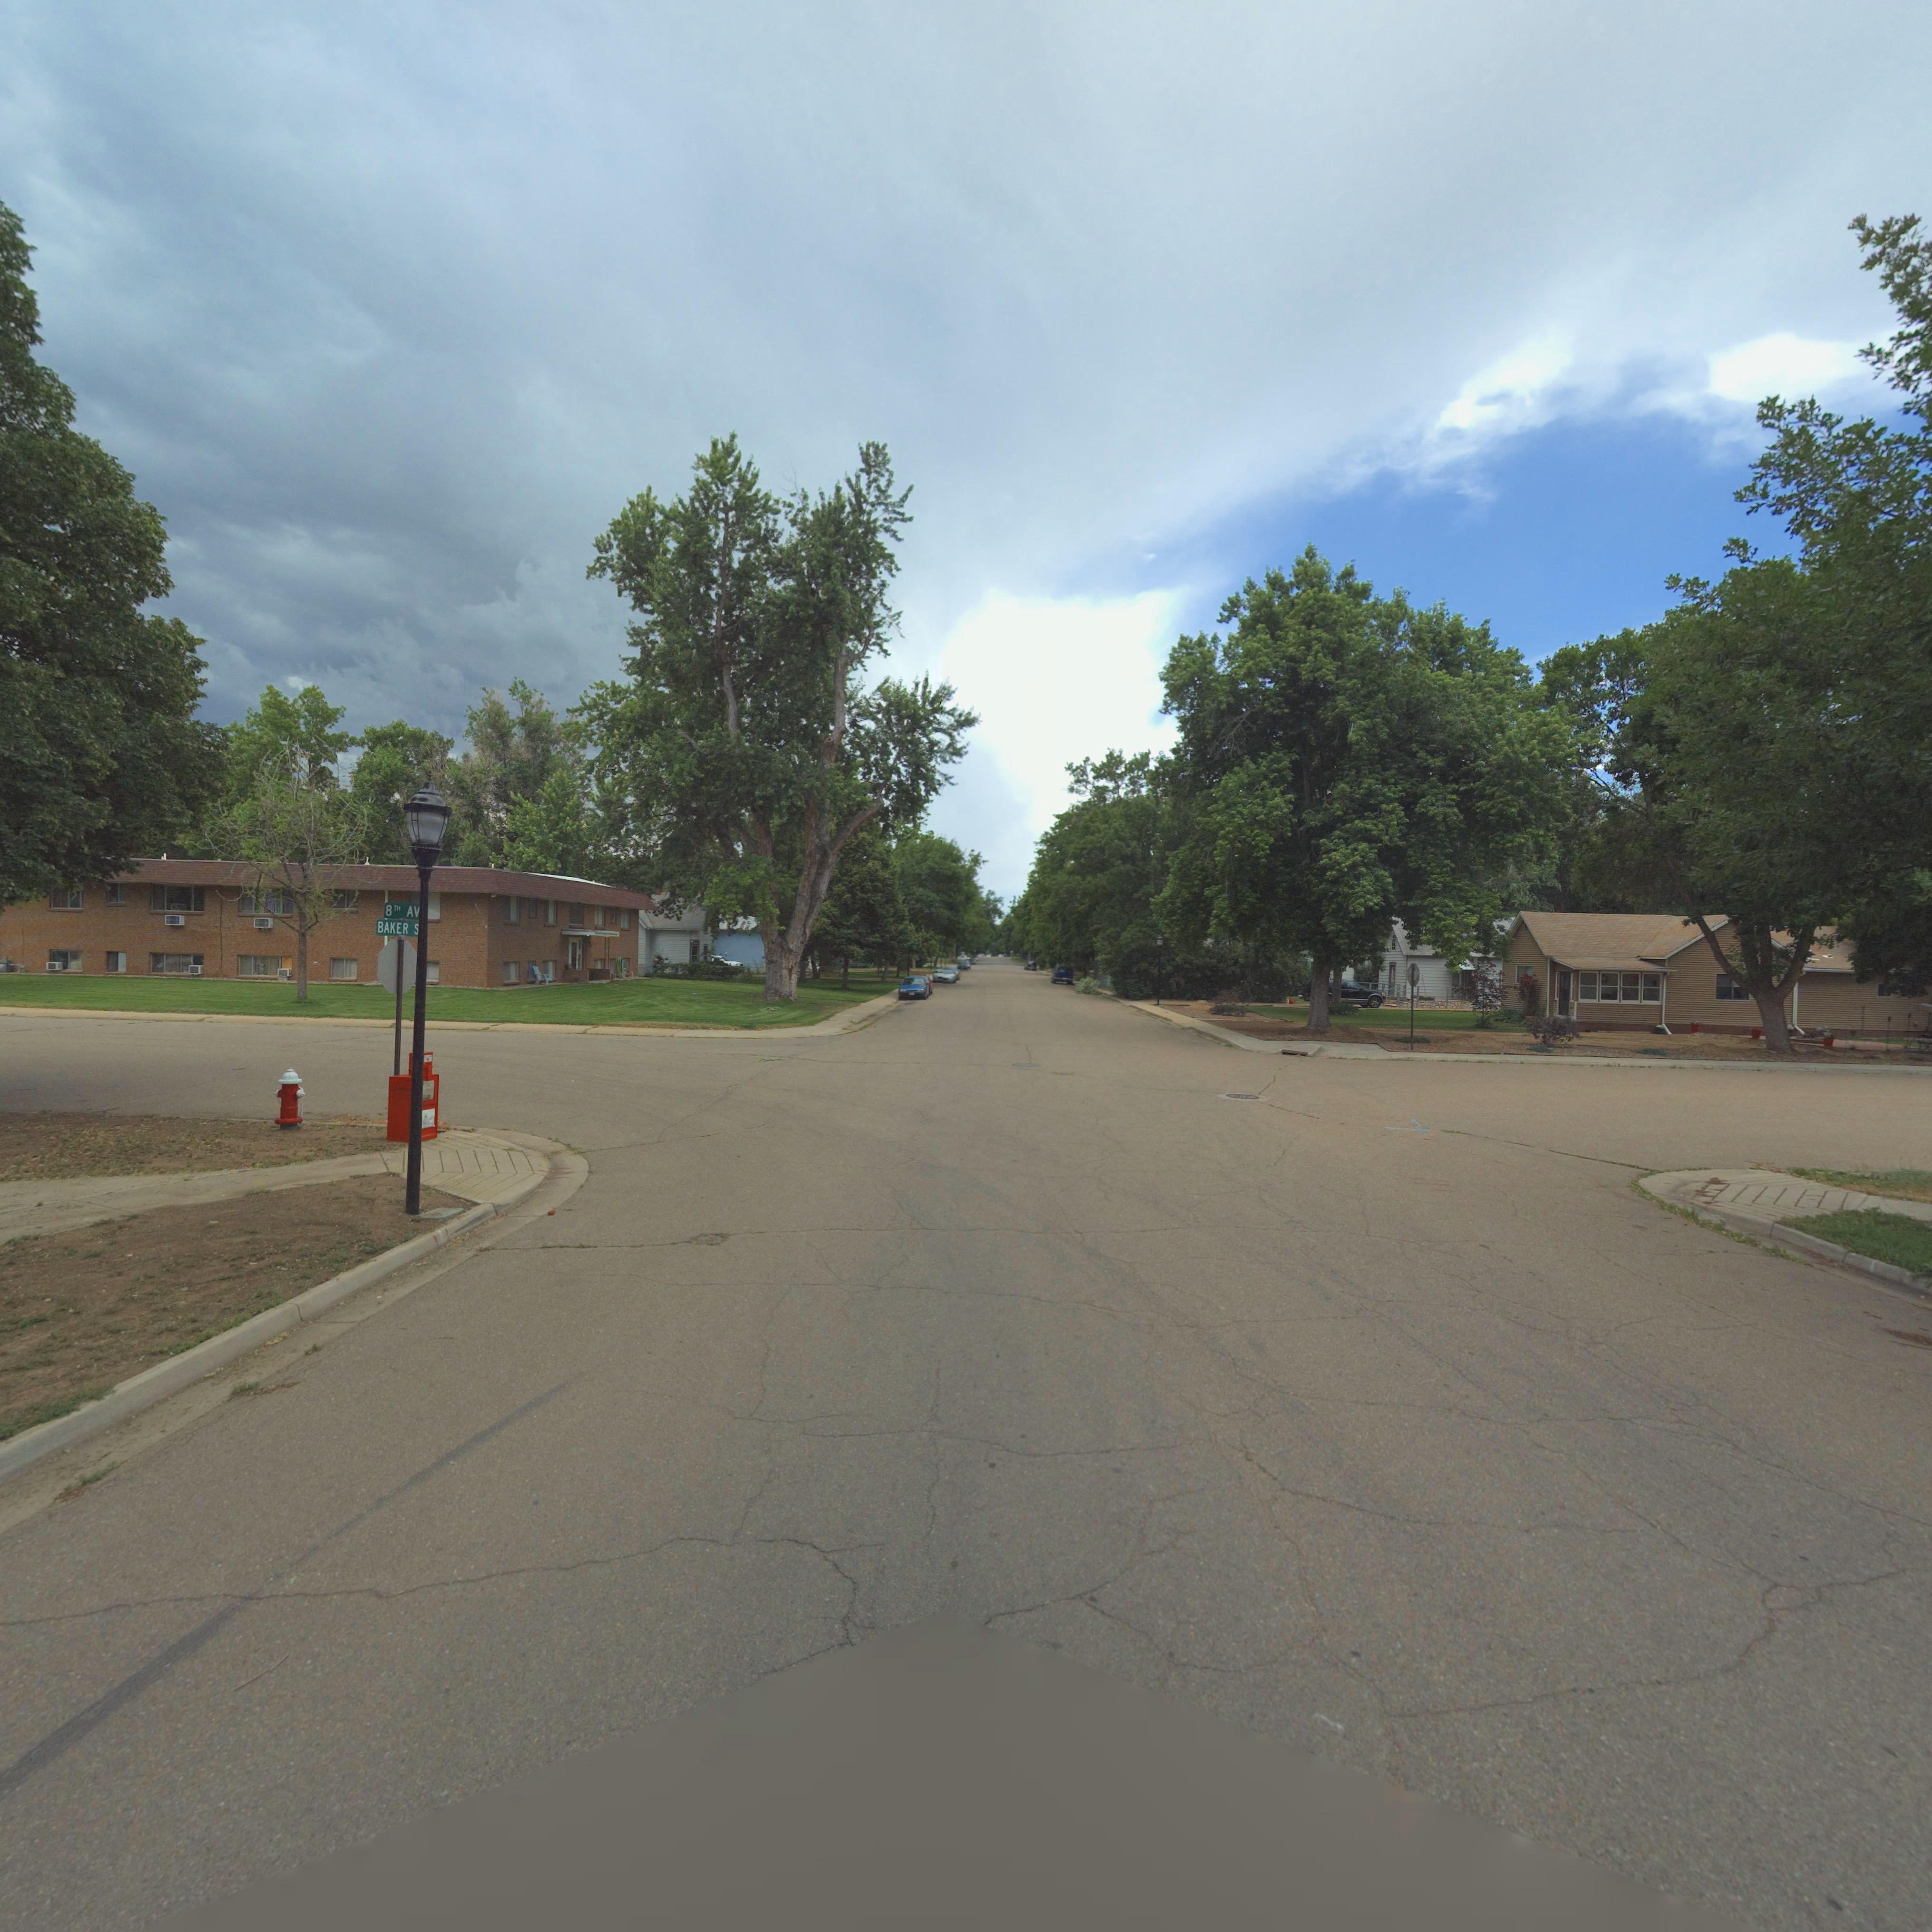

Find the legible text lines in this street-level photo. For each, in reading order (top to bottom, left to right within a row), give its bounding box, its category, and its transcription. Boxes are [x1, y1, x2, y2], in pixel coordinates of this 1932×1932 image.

[385, 904, 421, 918] StreetName: 8TH AV
[377, 921, 418, 934] StreetName: BAKER S